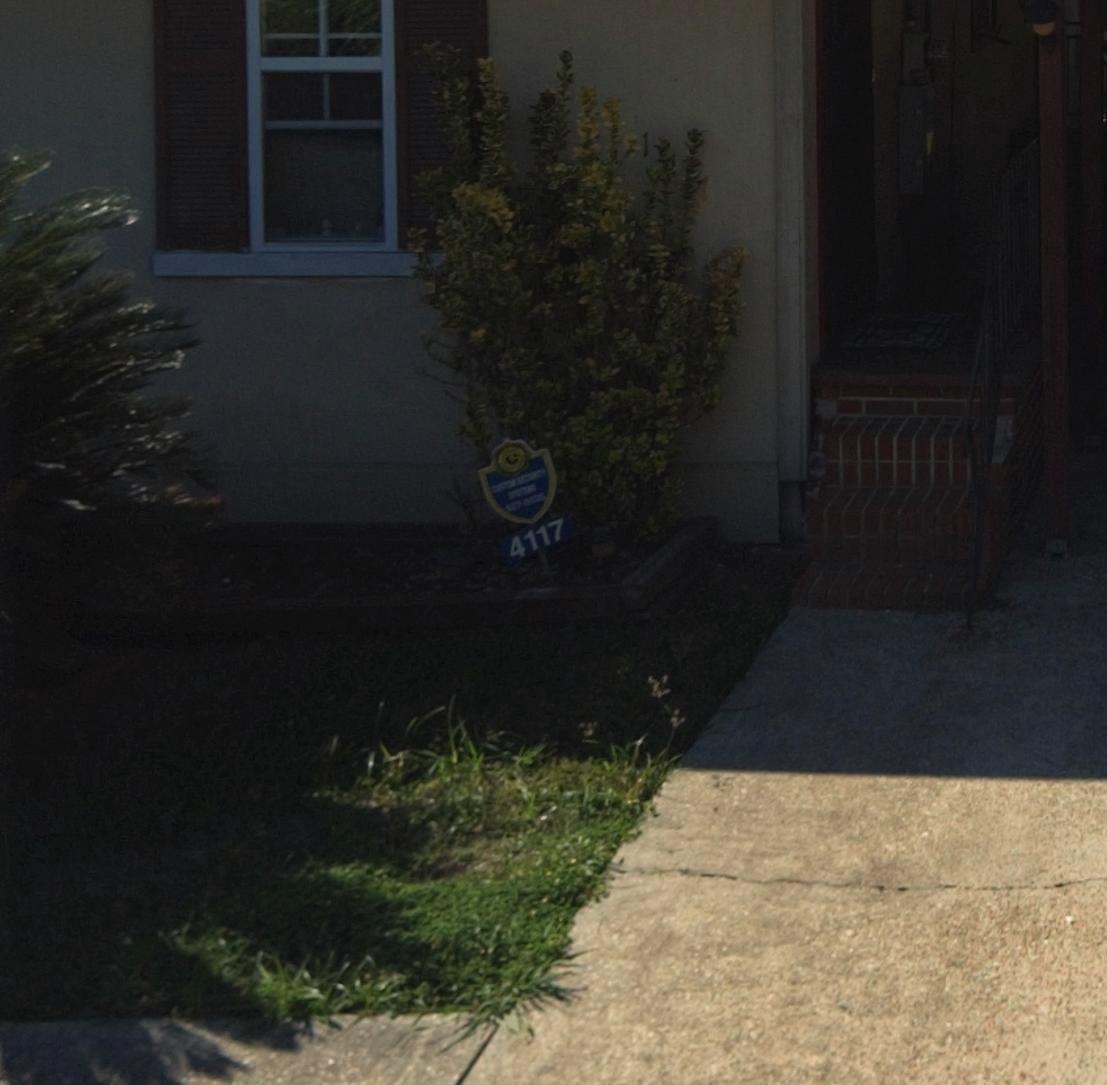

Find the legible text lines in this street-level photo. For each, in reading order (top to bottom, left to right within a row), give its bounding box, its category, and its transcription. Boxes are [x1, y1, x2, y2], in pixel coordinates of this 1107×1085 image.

[507, 514, 567, 559] StreetNumber: 4117